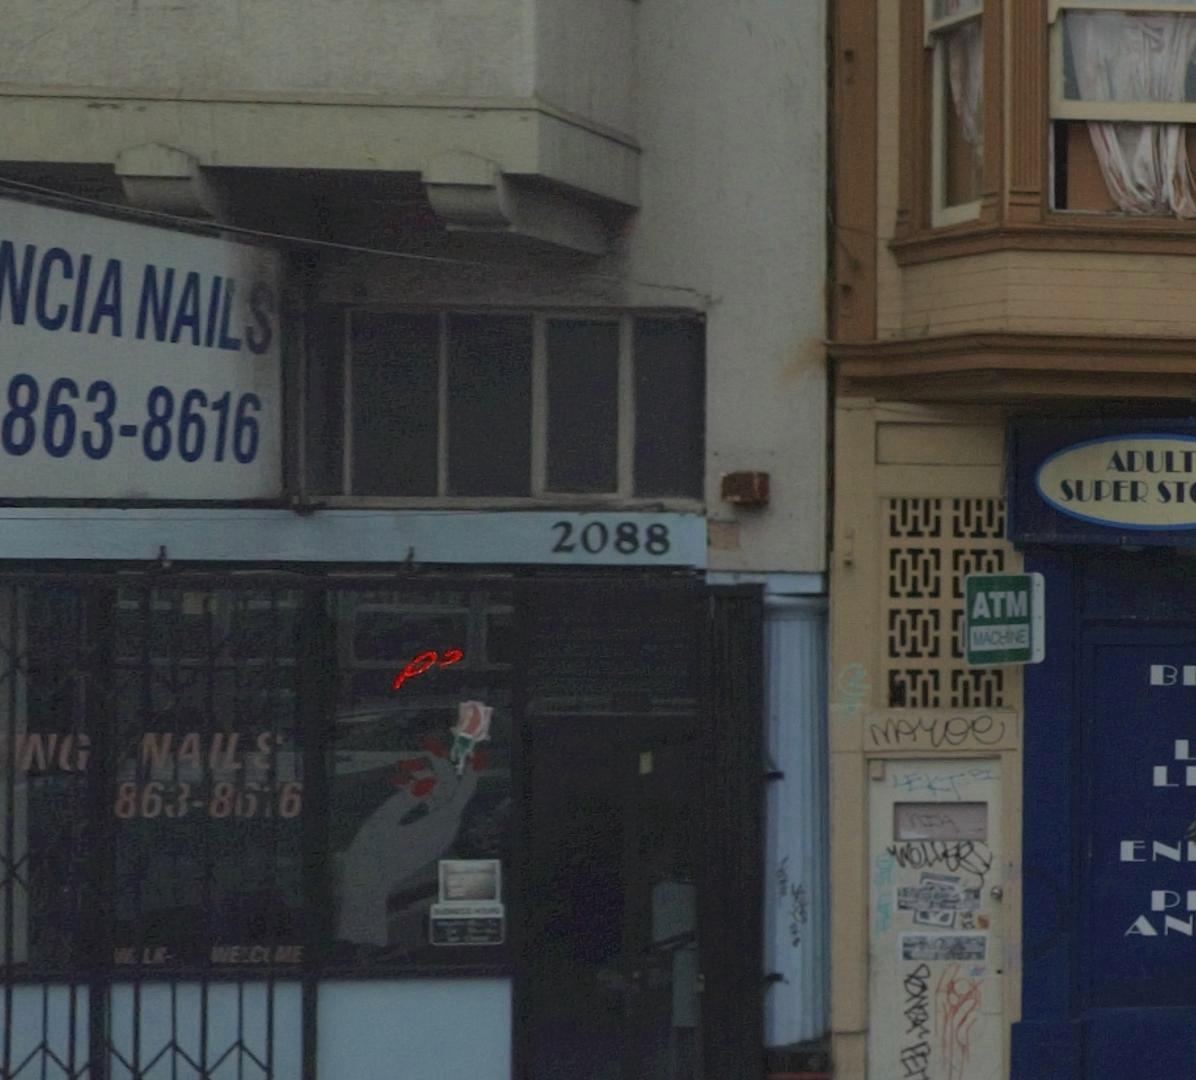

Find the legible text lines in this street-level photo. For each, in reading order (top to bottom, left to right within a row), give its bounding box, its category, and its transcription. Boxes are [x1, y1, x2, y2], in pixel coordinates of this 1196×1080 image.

[32, 241, 278, 363] BusinessName: CIA NAILS
[0, 368, 262, 465] None: 863-8616
[1103, 448, 1196, 475] BusinessName: ADULT
[1058, 477, 1189, 505] BusinessName: SUPER ST
[549, 518, 672, 556] StreetNumber: 2088
[969, 588, 1029, 620] None: ATM
[971, 628, 1027, 647] None: MACHINE
[1147, 662, 1178, 688] None: B
[133, 730, 287, 771] BusinessName: NAIL*
[1150, 764, 1181, 789] None: L
[113, 780, 306, 820] None: 863-8**6
[1118, 839, 1183, 865] None: EN
[1149, 888, 1184, 913] None: P
[1121, 913, 1193, 939] None: AN
[109, 946, 169, 966] None: **LK
[208, 945, 303, 965] None: WE*C*ME